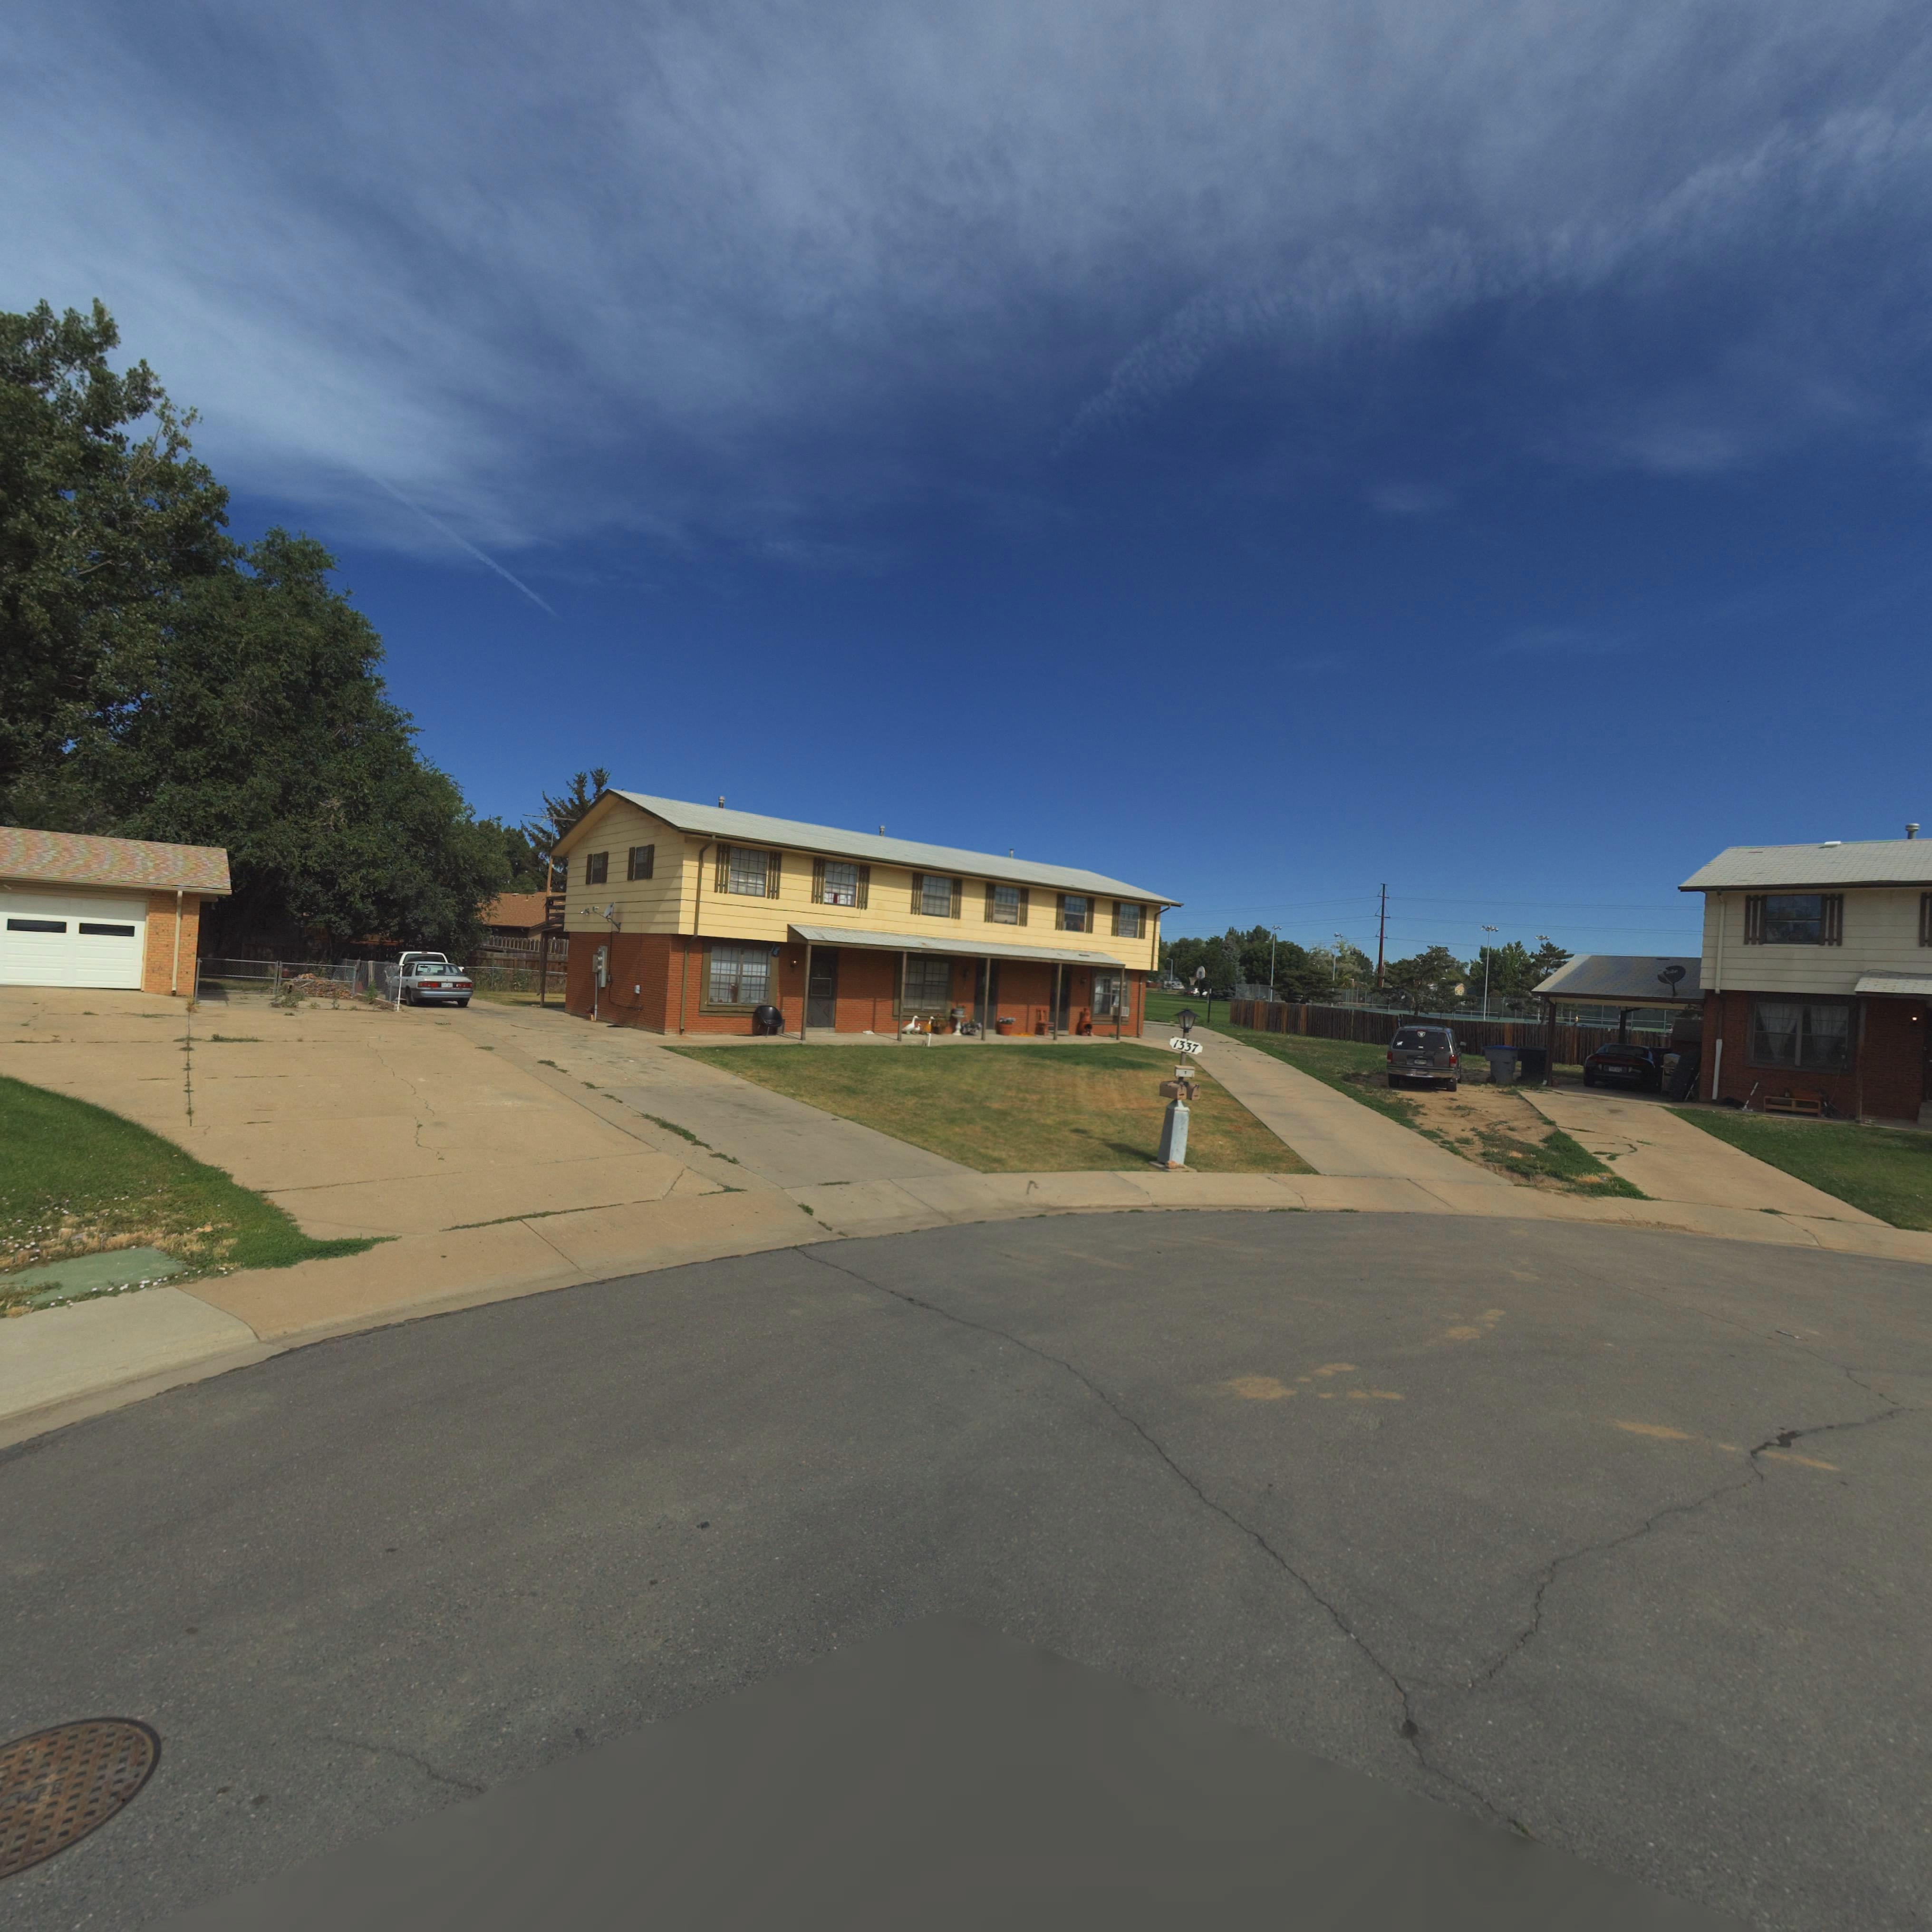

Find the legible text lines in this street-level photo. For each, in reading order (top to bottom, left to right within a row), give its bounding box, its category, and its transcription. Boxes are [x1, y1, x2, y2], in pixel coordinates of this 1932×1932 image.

[1173, 1039, 1199, 1052] StreetNumber: 1337